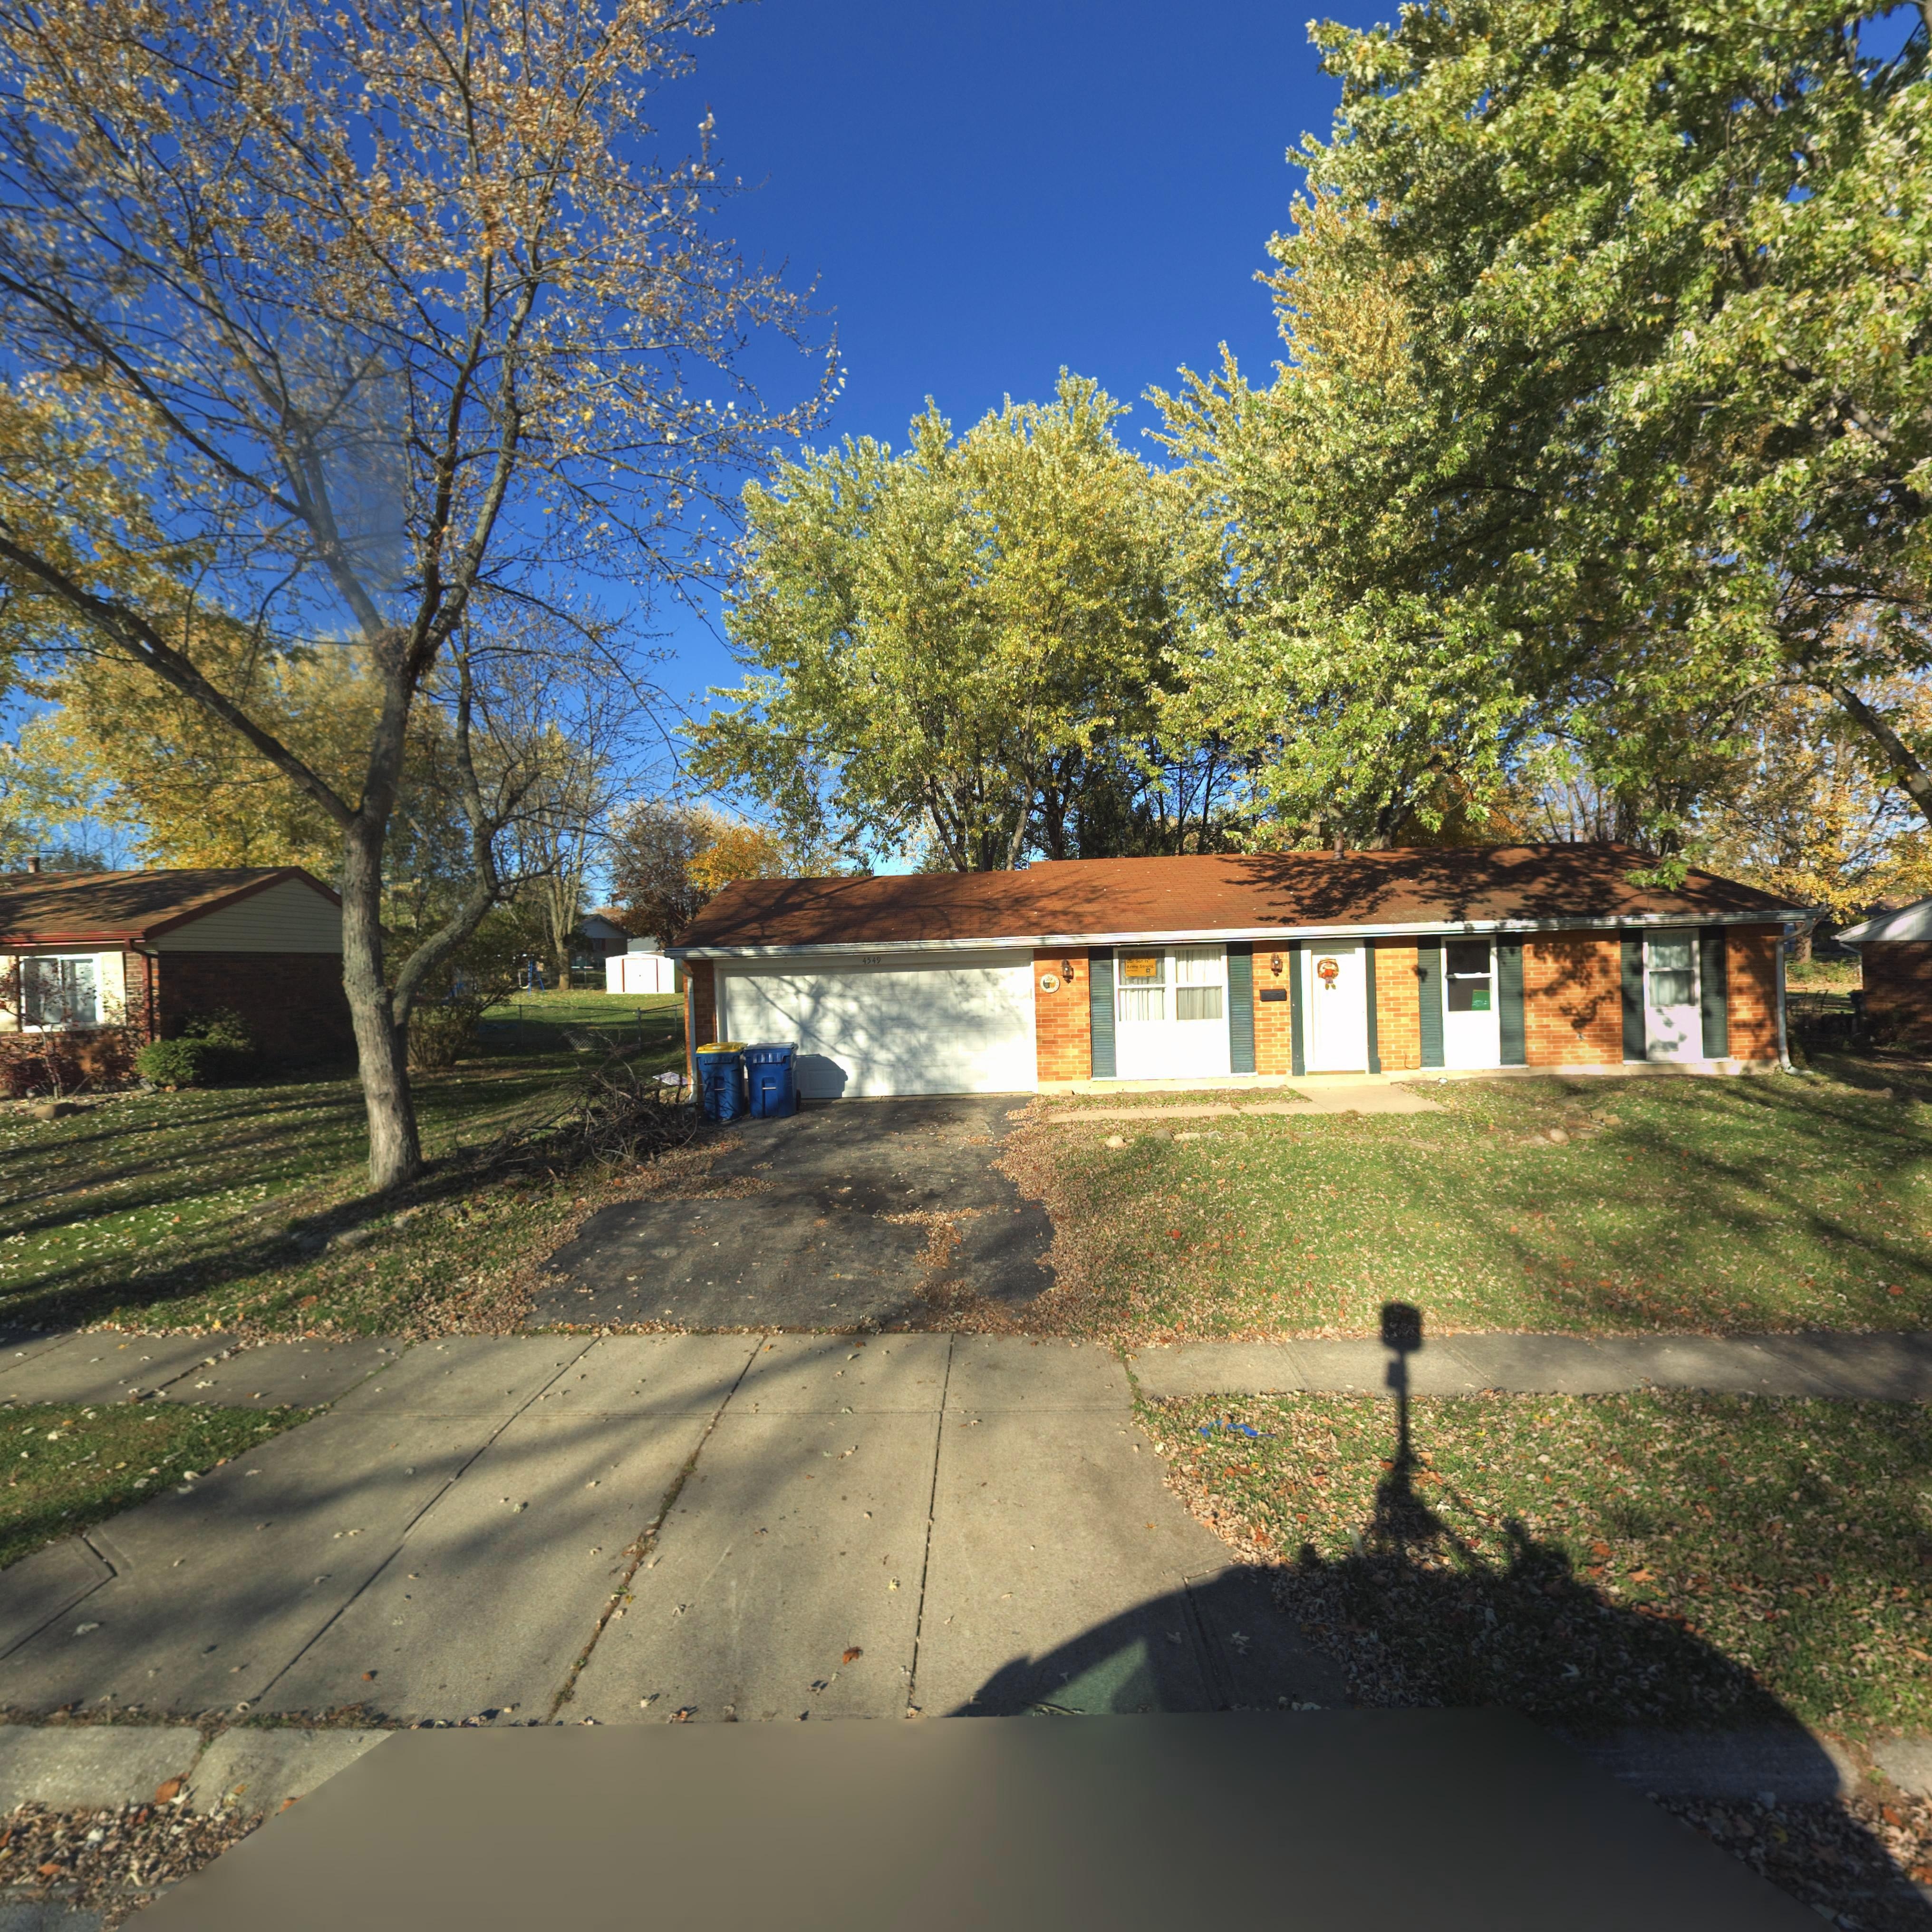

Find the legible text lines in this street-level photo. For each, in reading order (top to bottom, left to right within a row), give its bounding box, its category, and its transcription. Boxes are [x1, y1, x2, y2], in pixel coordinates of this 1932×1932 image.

[862, 956, 882, 965] StreetNumber: 4549